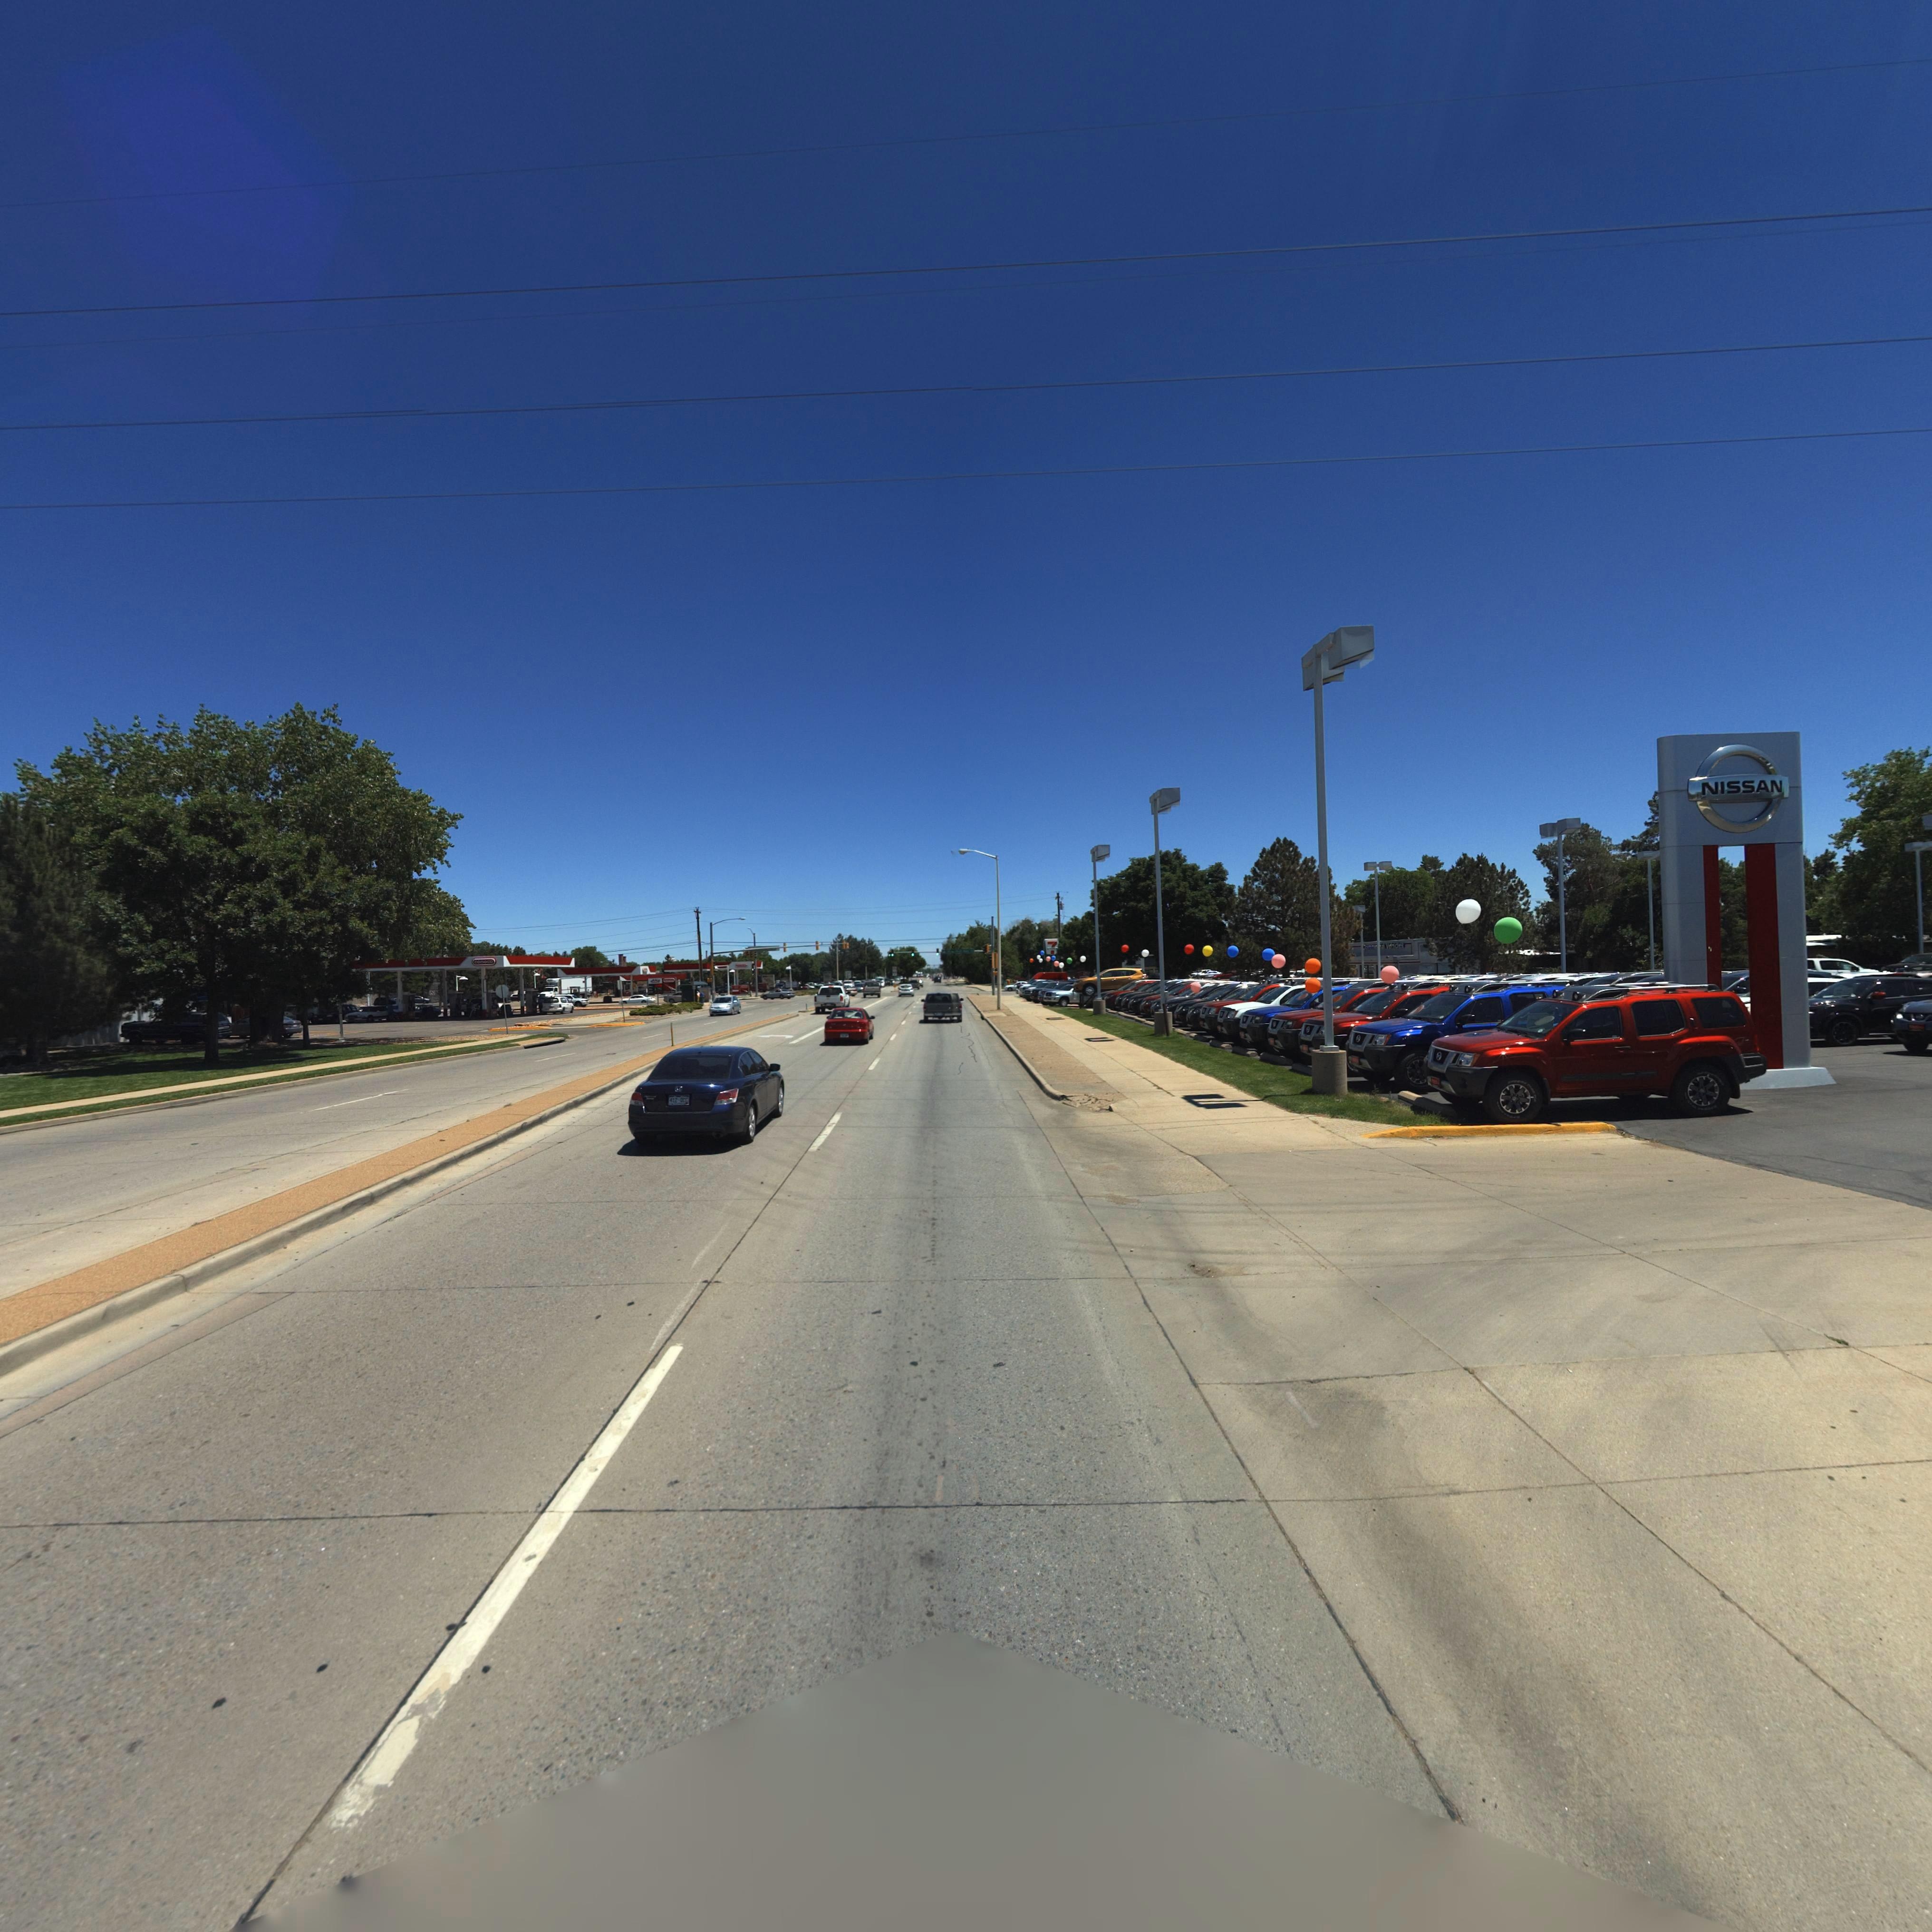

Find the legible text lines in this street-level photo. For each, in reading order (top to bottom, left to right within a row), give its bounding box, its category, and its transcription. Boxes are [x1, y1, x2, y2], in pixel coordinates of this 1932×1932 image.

[1700, 779, 1783, 797] BusinessName: NISSAN
[1047, 941, 1058, 954] BusinessName: 7
[1362, 941, 1404, 950] StreetNumber: Comme**ial Vehicles
[474, 960, 493, 964] BusinessName: conoco